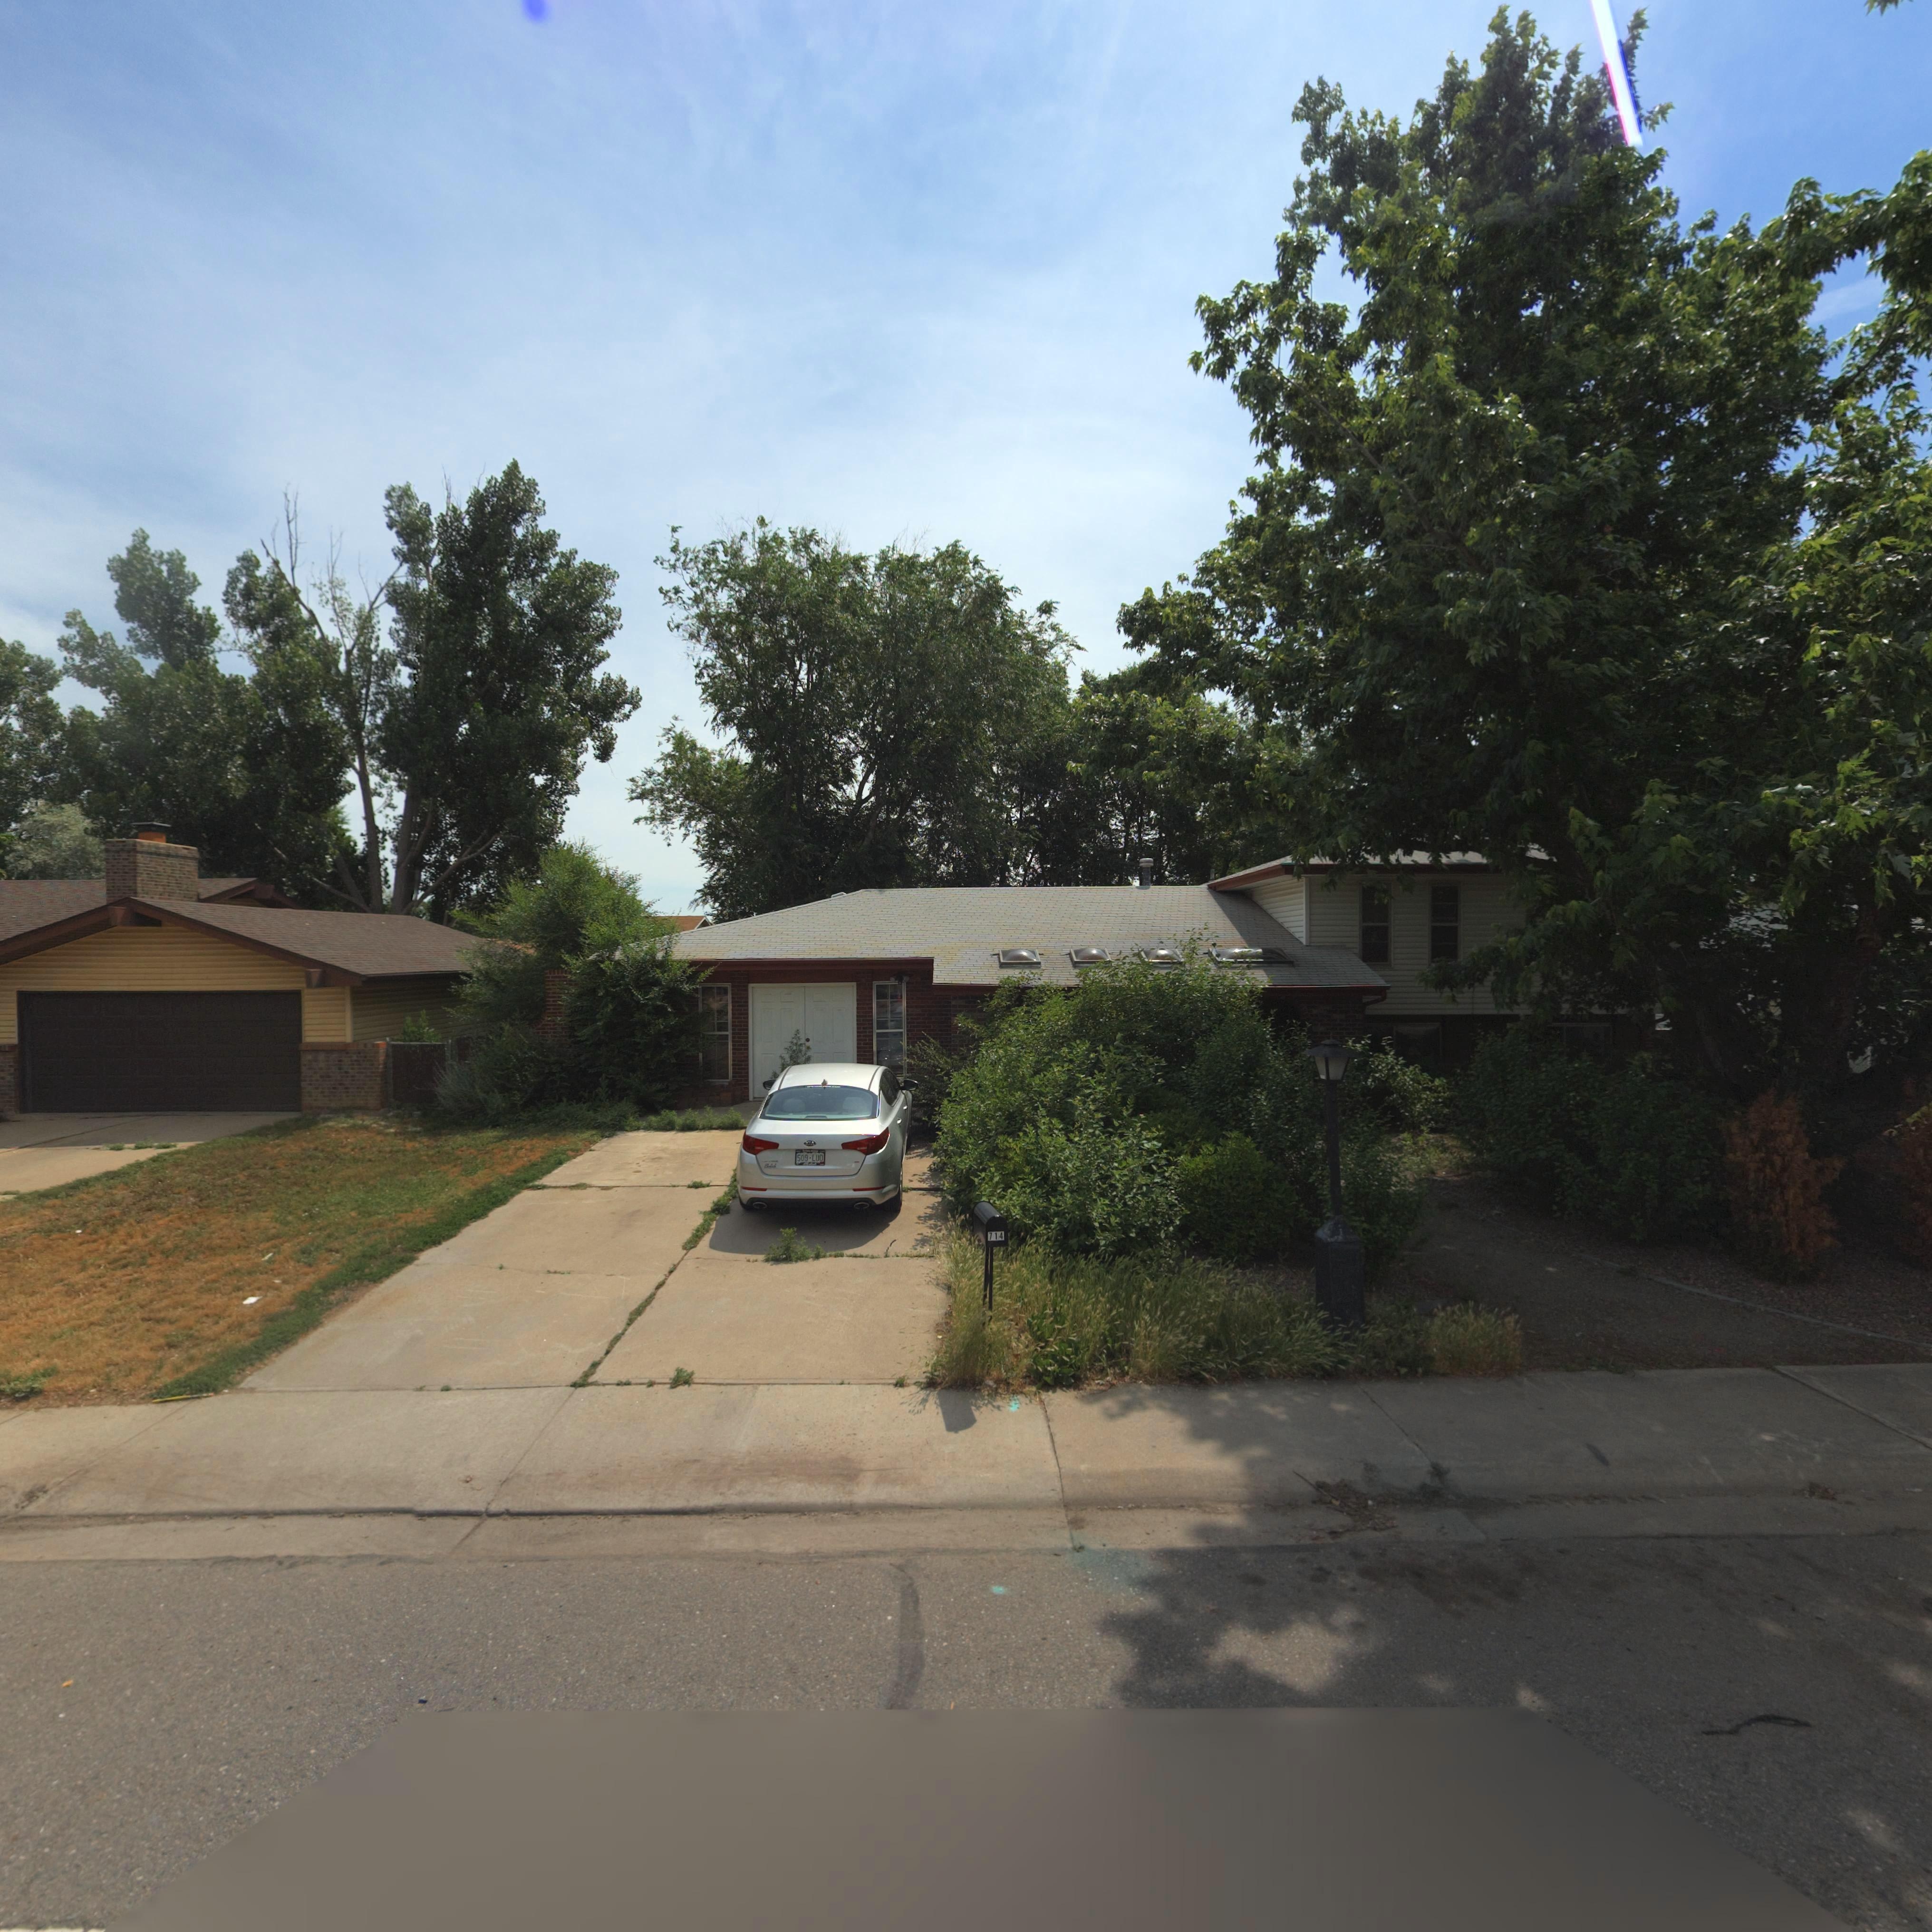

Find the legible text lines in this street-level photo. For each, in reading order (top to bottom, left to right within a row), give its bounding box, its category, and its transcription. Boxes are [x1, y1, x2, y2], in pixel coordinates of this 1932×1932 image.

[988, 1232, 1003, 1240] StreetNumber: 714